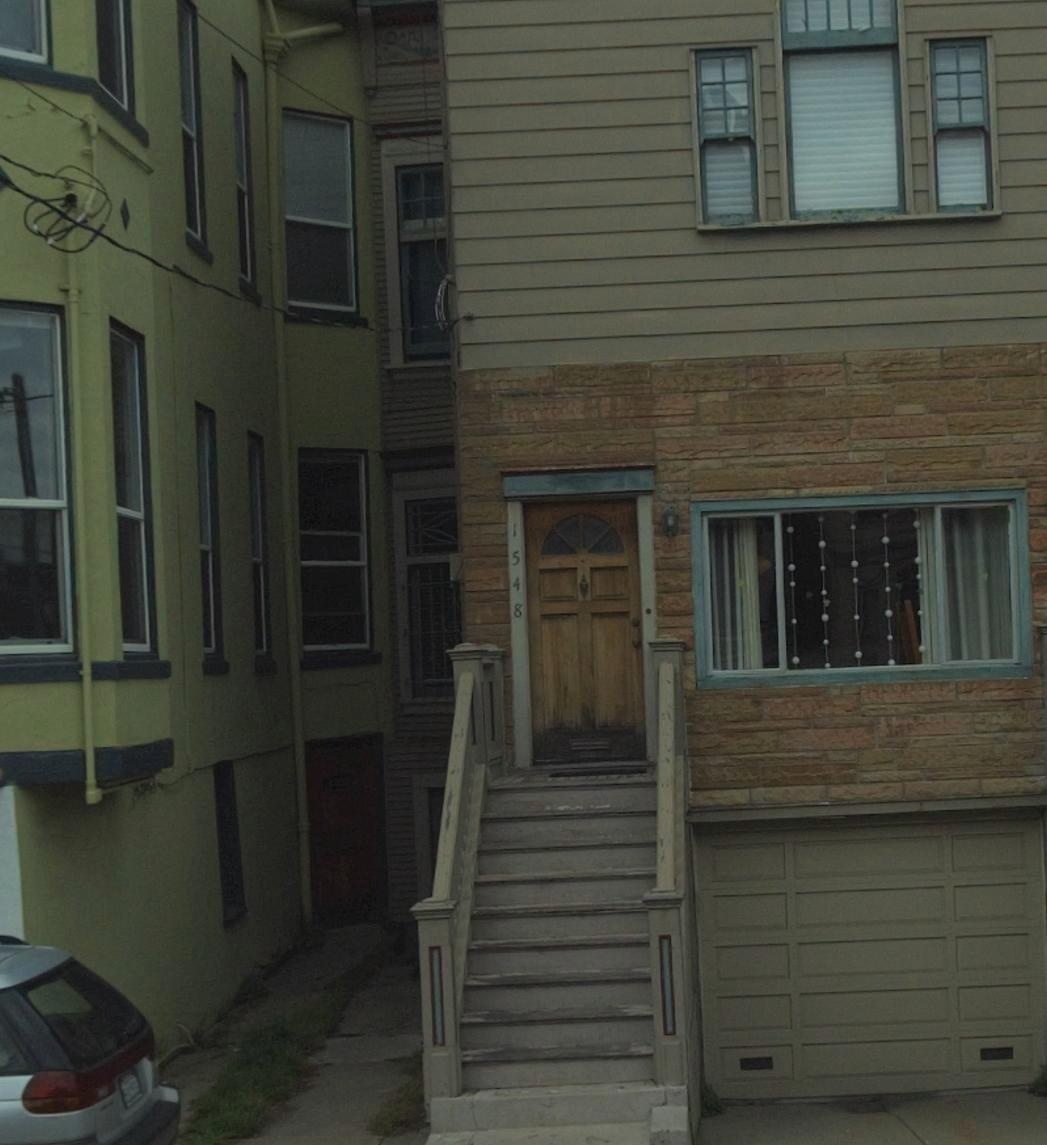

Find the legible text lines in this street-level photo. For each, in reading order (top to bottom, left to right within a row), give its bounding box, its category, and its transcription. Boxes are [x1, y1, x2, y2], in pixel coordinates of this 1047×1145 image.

[512, 523, 523, 620] StreetNumber: 1548